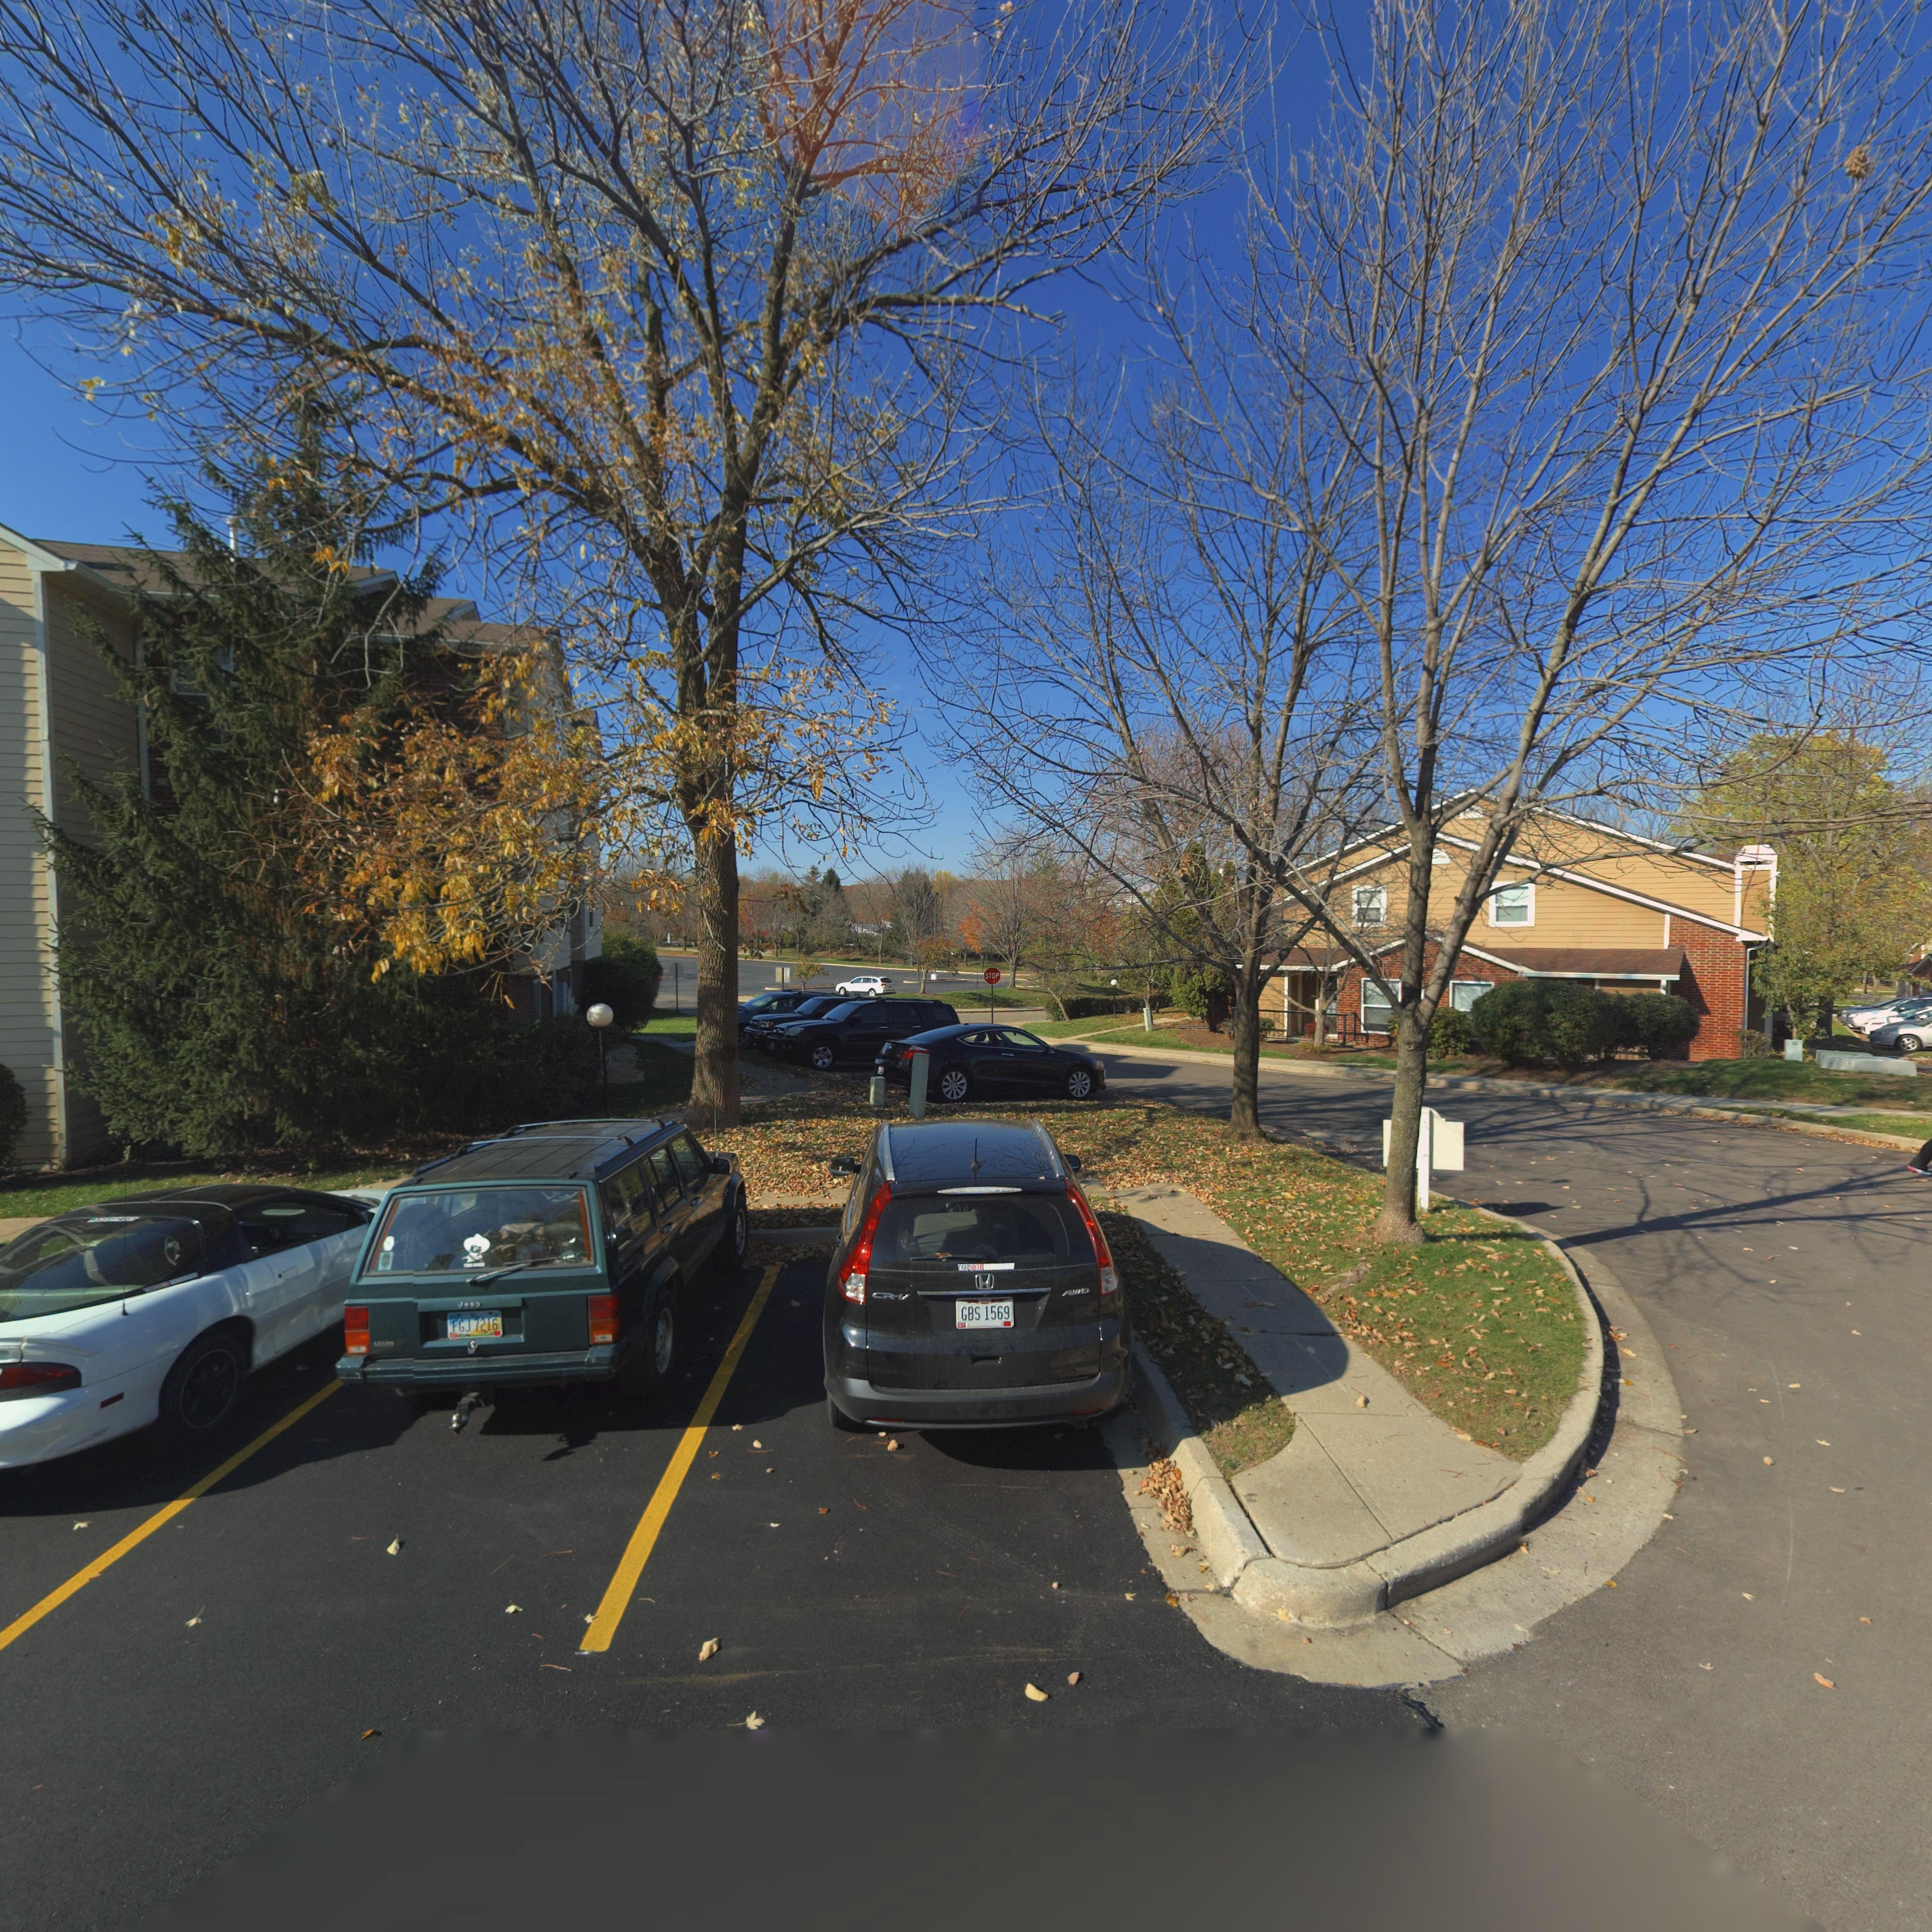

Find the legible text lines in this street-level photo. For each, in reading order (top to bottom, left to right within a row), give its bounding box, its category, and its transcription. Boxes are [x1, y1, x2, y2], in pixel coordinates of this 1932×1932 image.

[985, 971, 1000, 980] None: STOP
[956, 1262, 984, 1271] None: TRA*SPEED
[1061, 1286, 1092, 1297] None: A*D
[456, 1300, 482, 1310] None: J**p
[871, 1291, 912, 1303] None: CR-V
[977, 1298, 993, 1305] None: O**O
[960, 1304, 1010, 1323] None: GBS 1569
[452, 1316, 499, 1334] None: FGJ 7216
[957, 1322, 966, 1328] None: 57